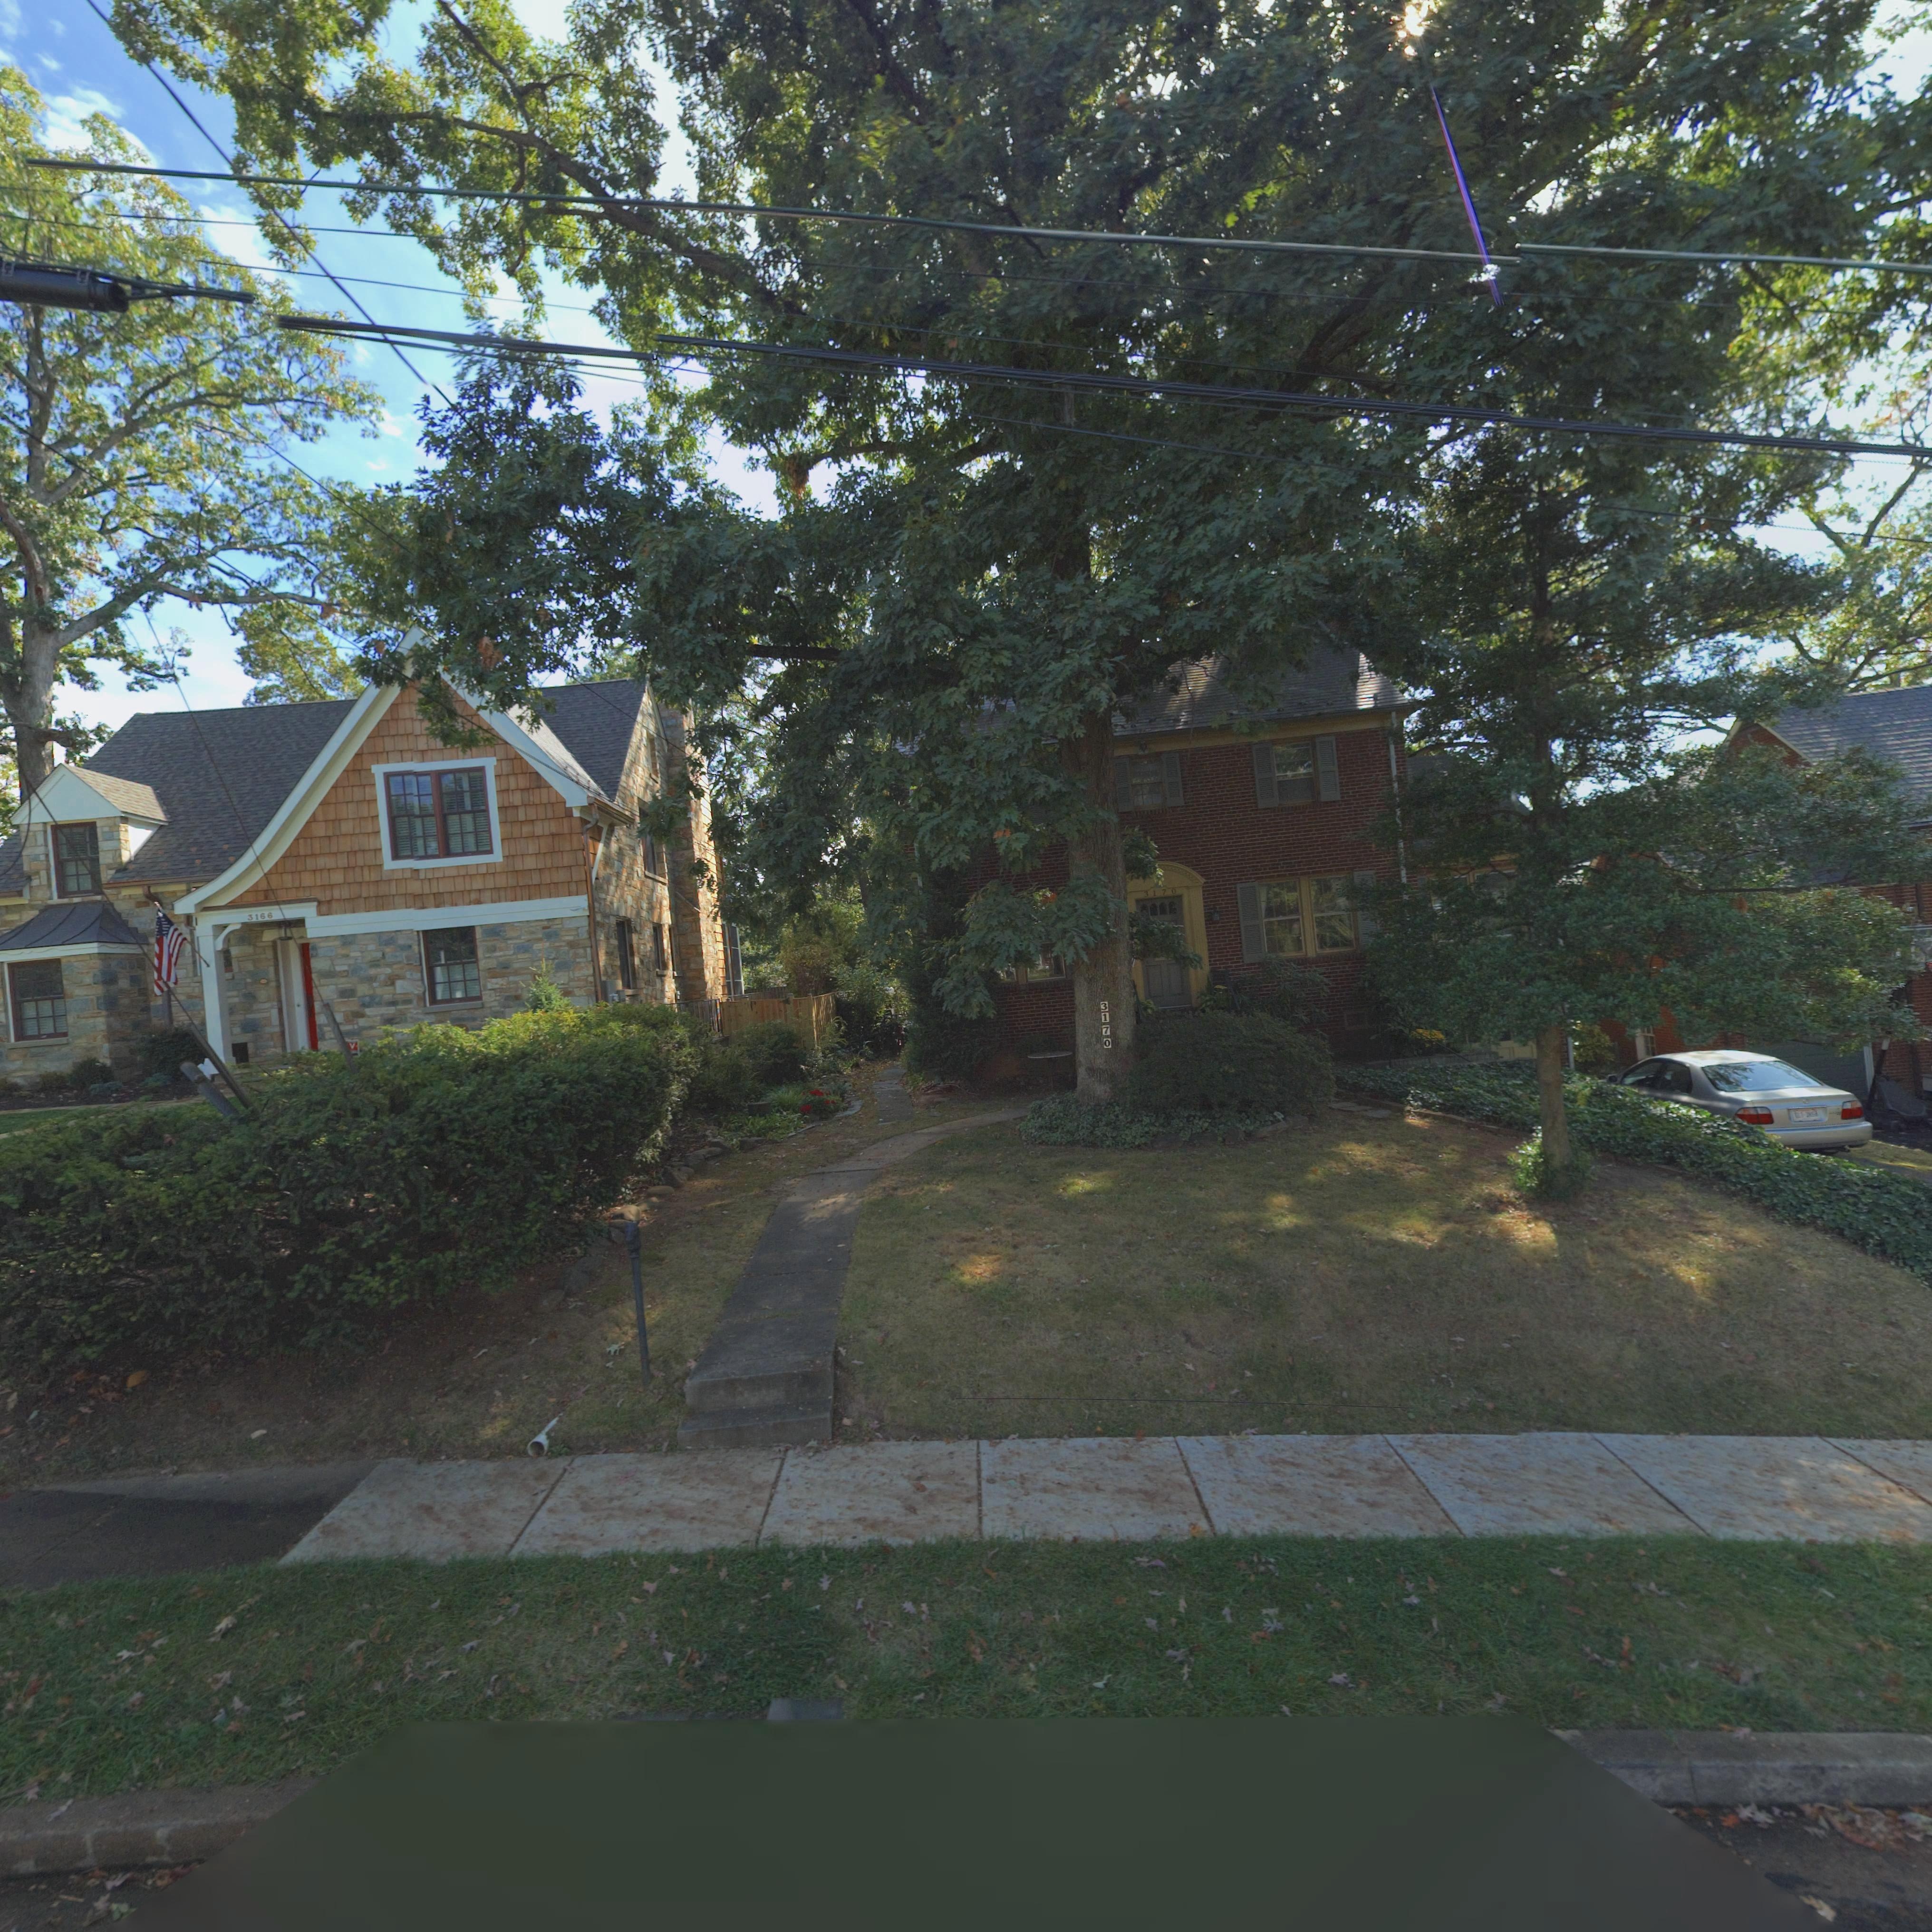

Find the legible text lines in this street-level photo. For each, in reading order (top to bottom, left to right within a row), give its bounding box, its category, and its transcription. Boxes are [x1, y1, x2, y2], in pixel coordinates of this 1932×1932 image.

[1143, 887, 1177, 898] StreetNumber: 3170
[246, 910, 275, 922] StreetNumber: 3166
[1099, 1001, 1111, 1048] StreetNumber: 3170
[347, 1042, 357, 1051] None: v